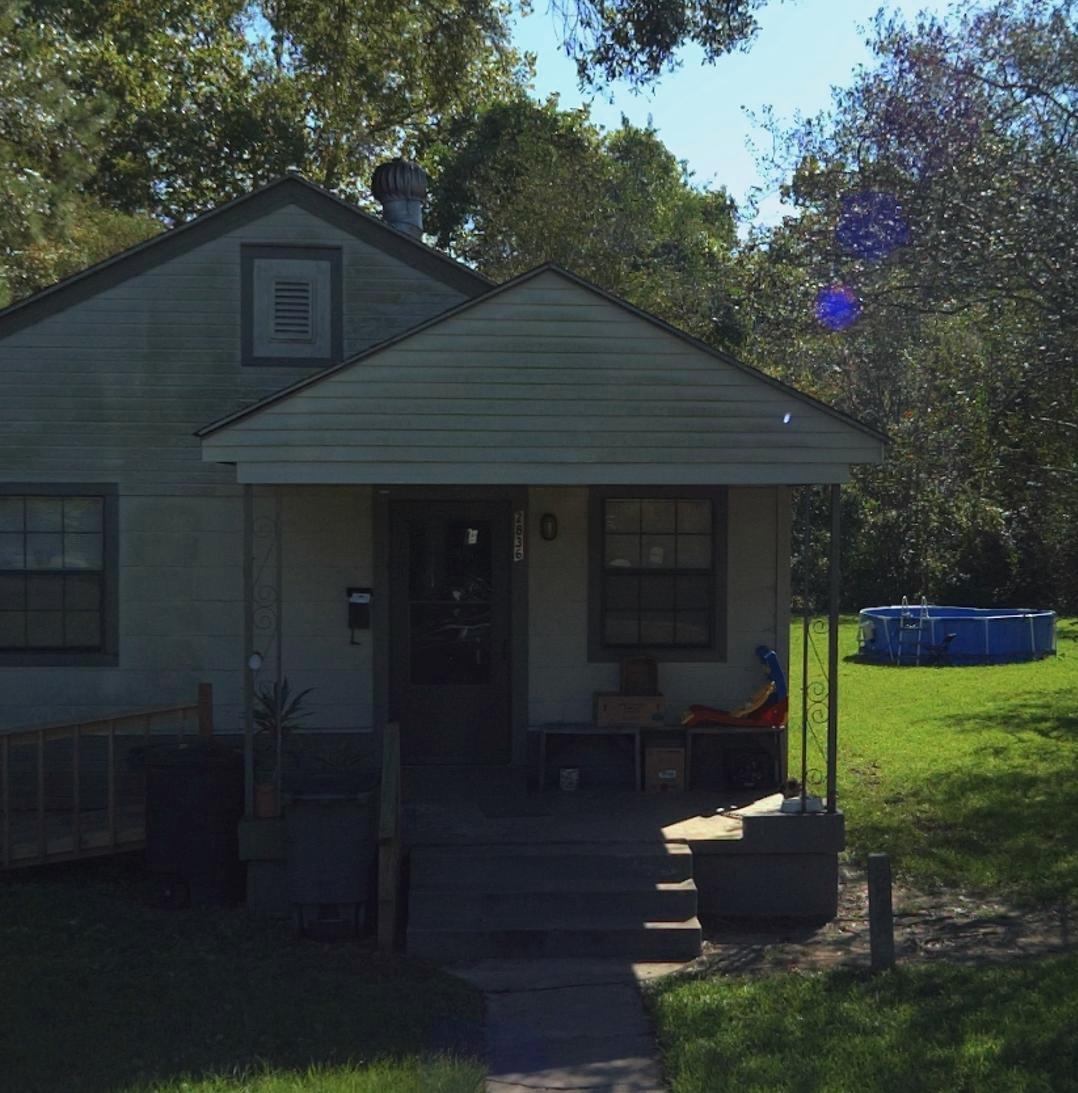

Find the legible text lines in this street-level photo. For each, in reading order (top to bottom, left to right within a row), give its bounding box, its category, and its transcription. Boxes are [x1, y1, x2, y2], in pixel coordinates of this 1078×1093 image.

[514, 511, 524, 560] StreetNumber: 2836